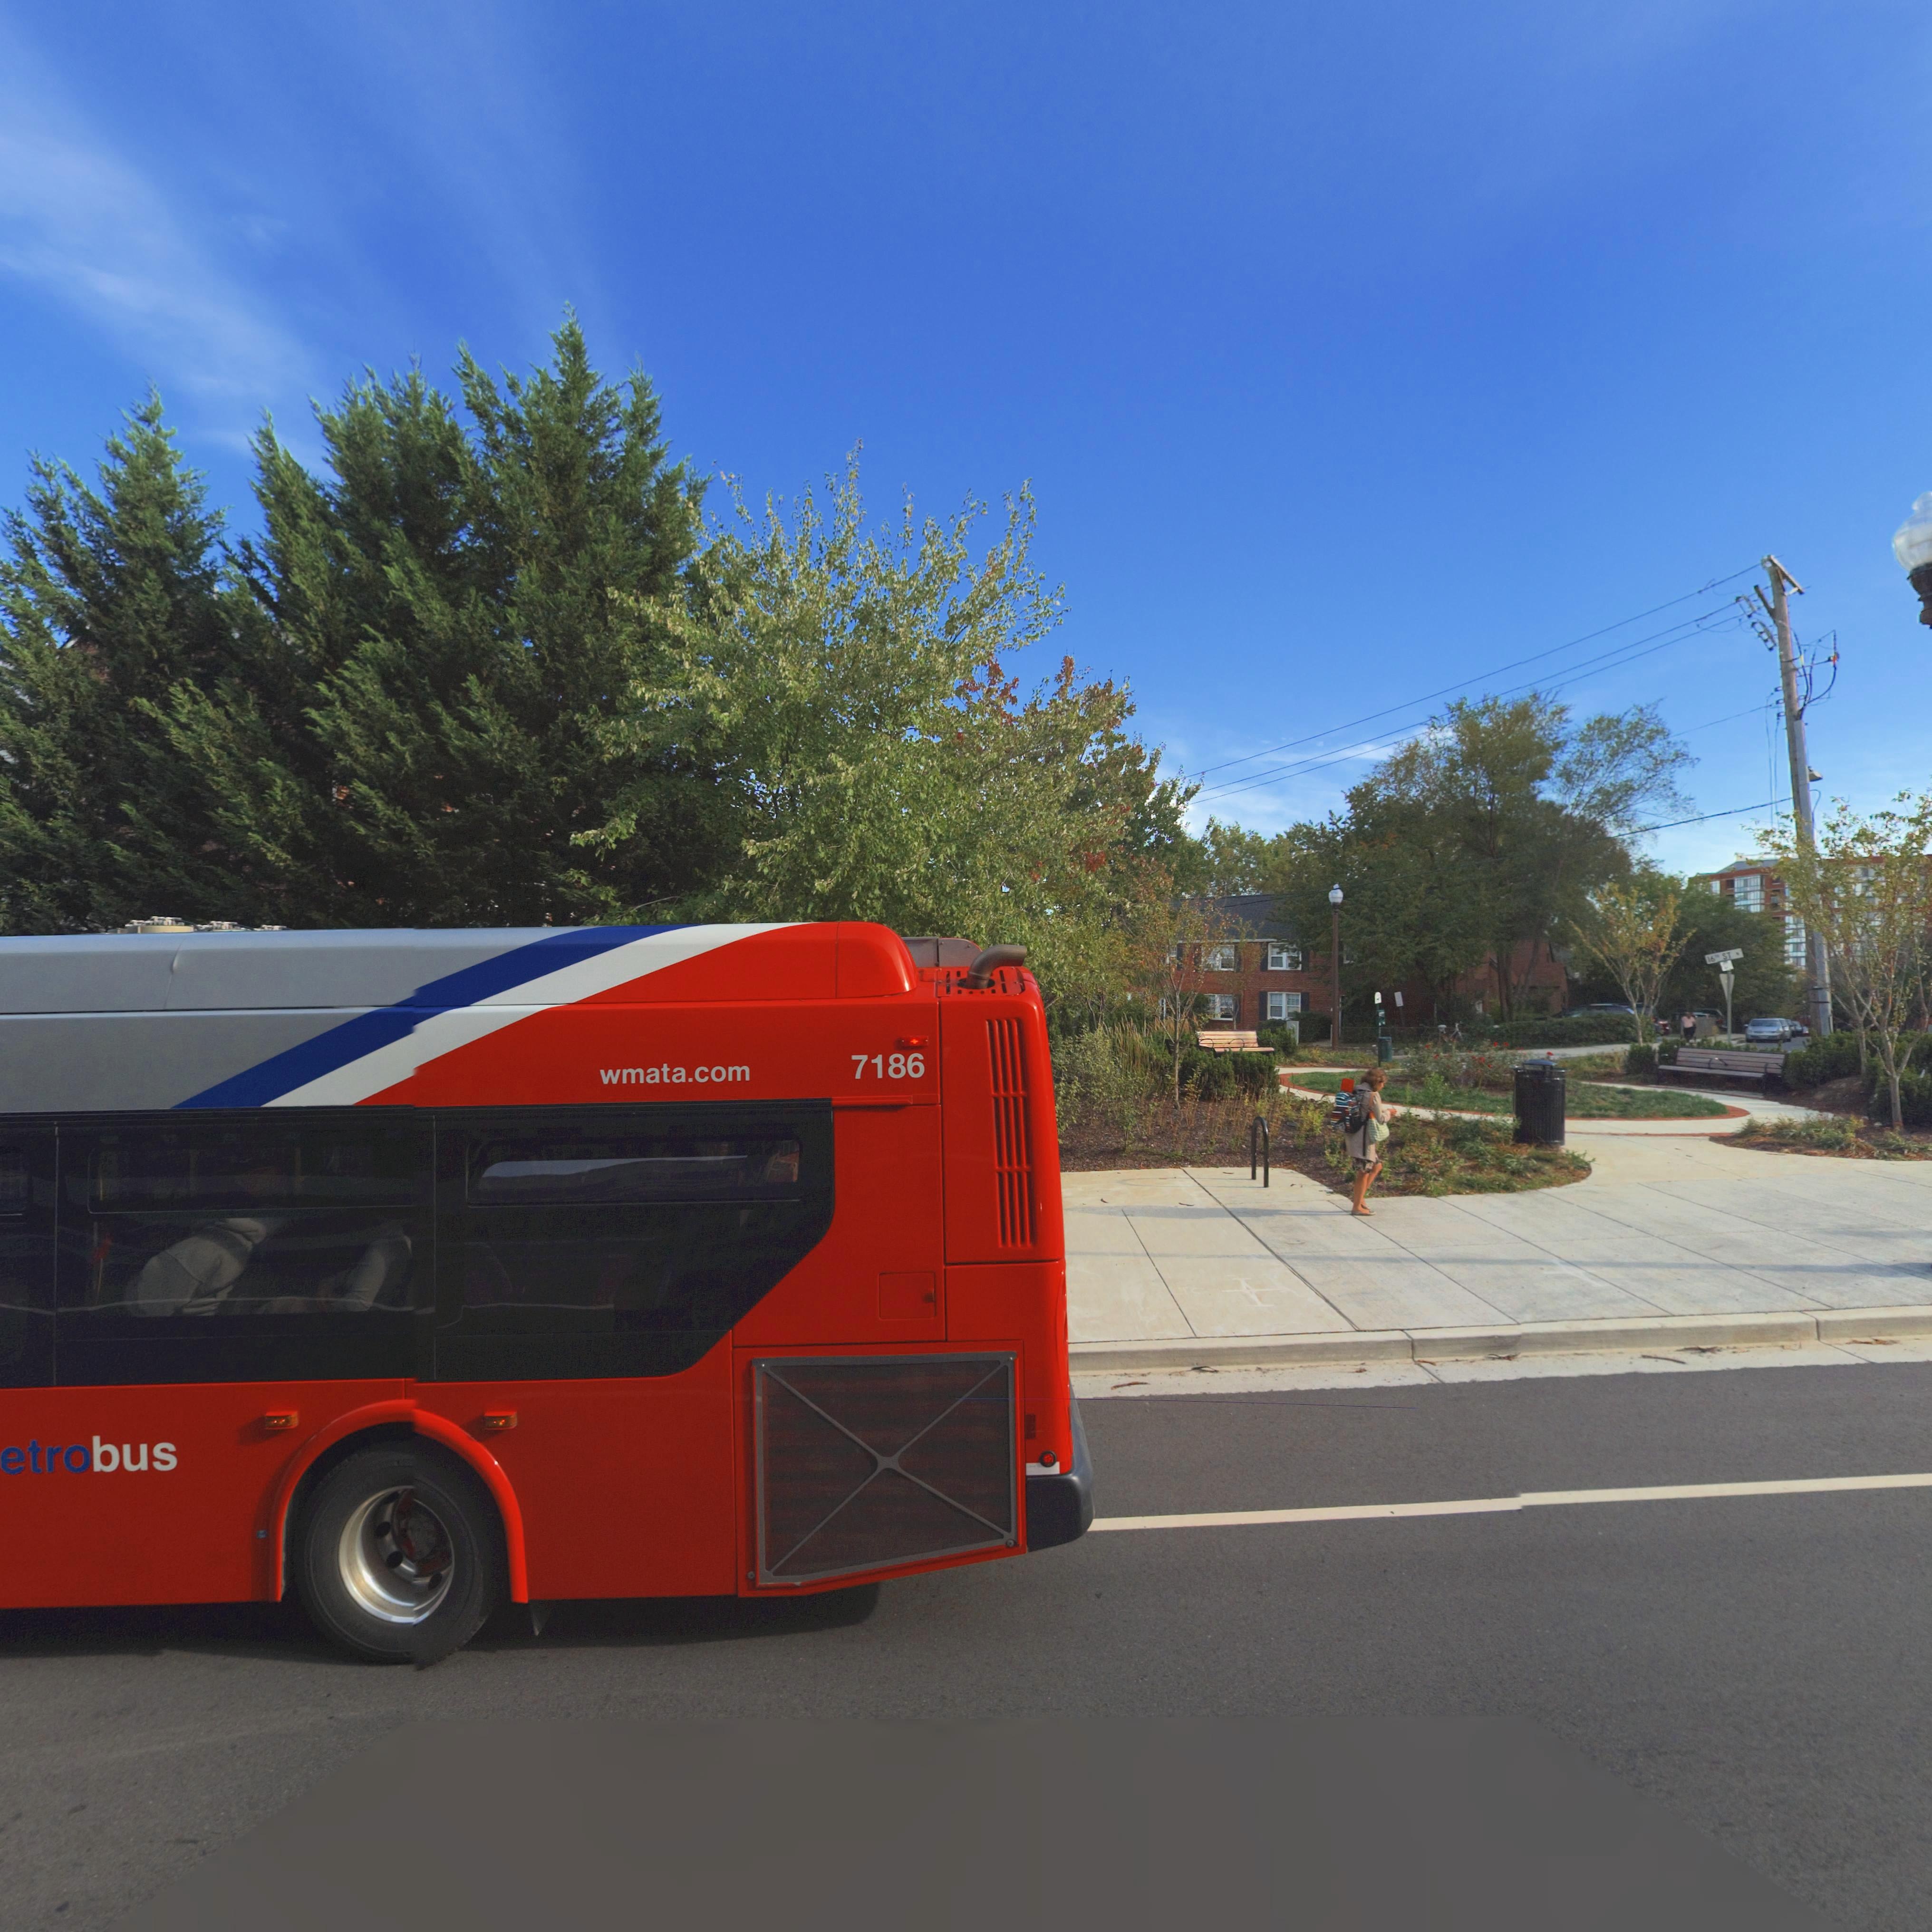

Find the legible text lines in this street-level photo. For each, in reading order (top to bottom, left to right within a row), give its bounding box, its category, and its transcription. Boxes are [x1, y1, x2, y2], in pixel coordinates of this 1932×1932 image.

[1705, 950, 1734, 965] StreetName: 16** ST
[596, 1058, 752, 1087] None: wmata.com
[849, 1051, 927, 1081] None: 7186
[0, 1433, 180, 1477] None: etrobus